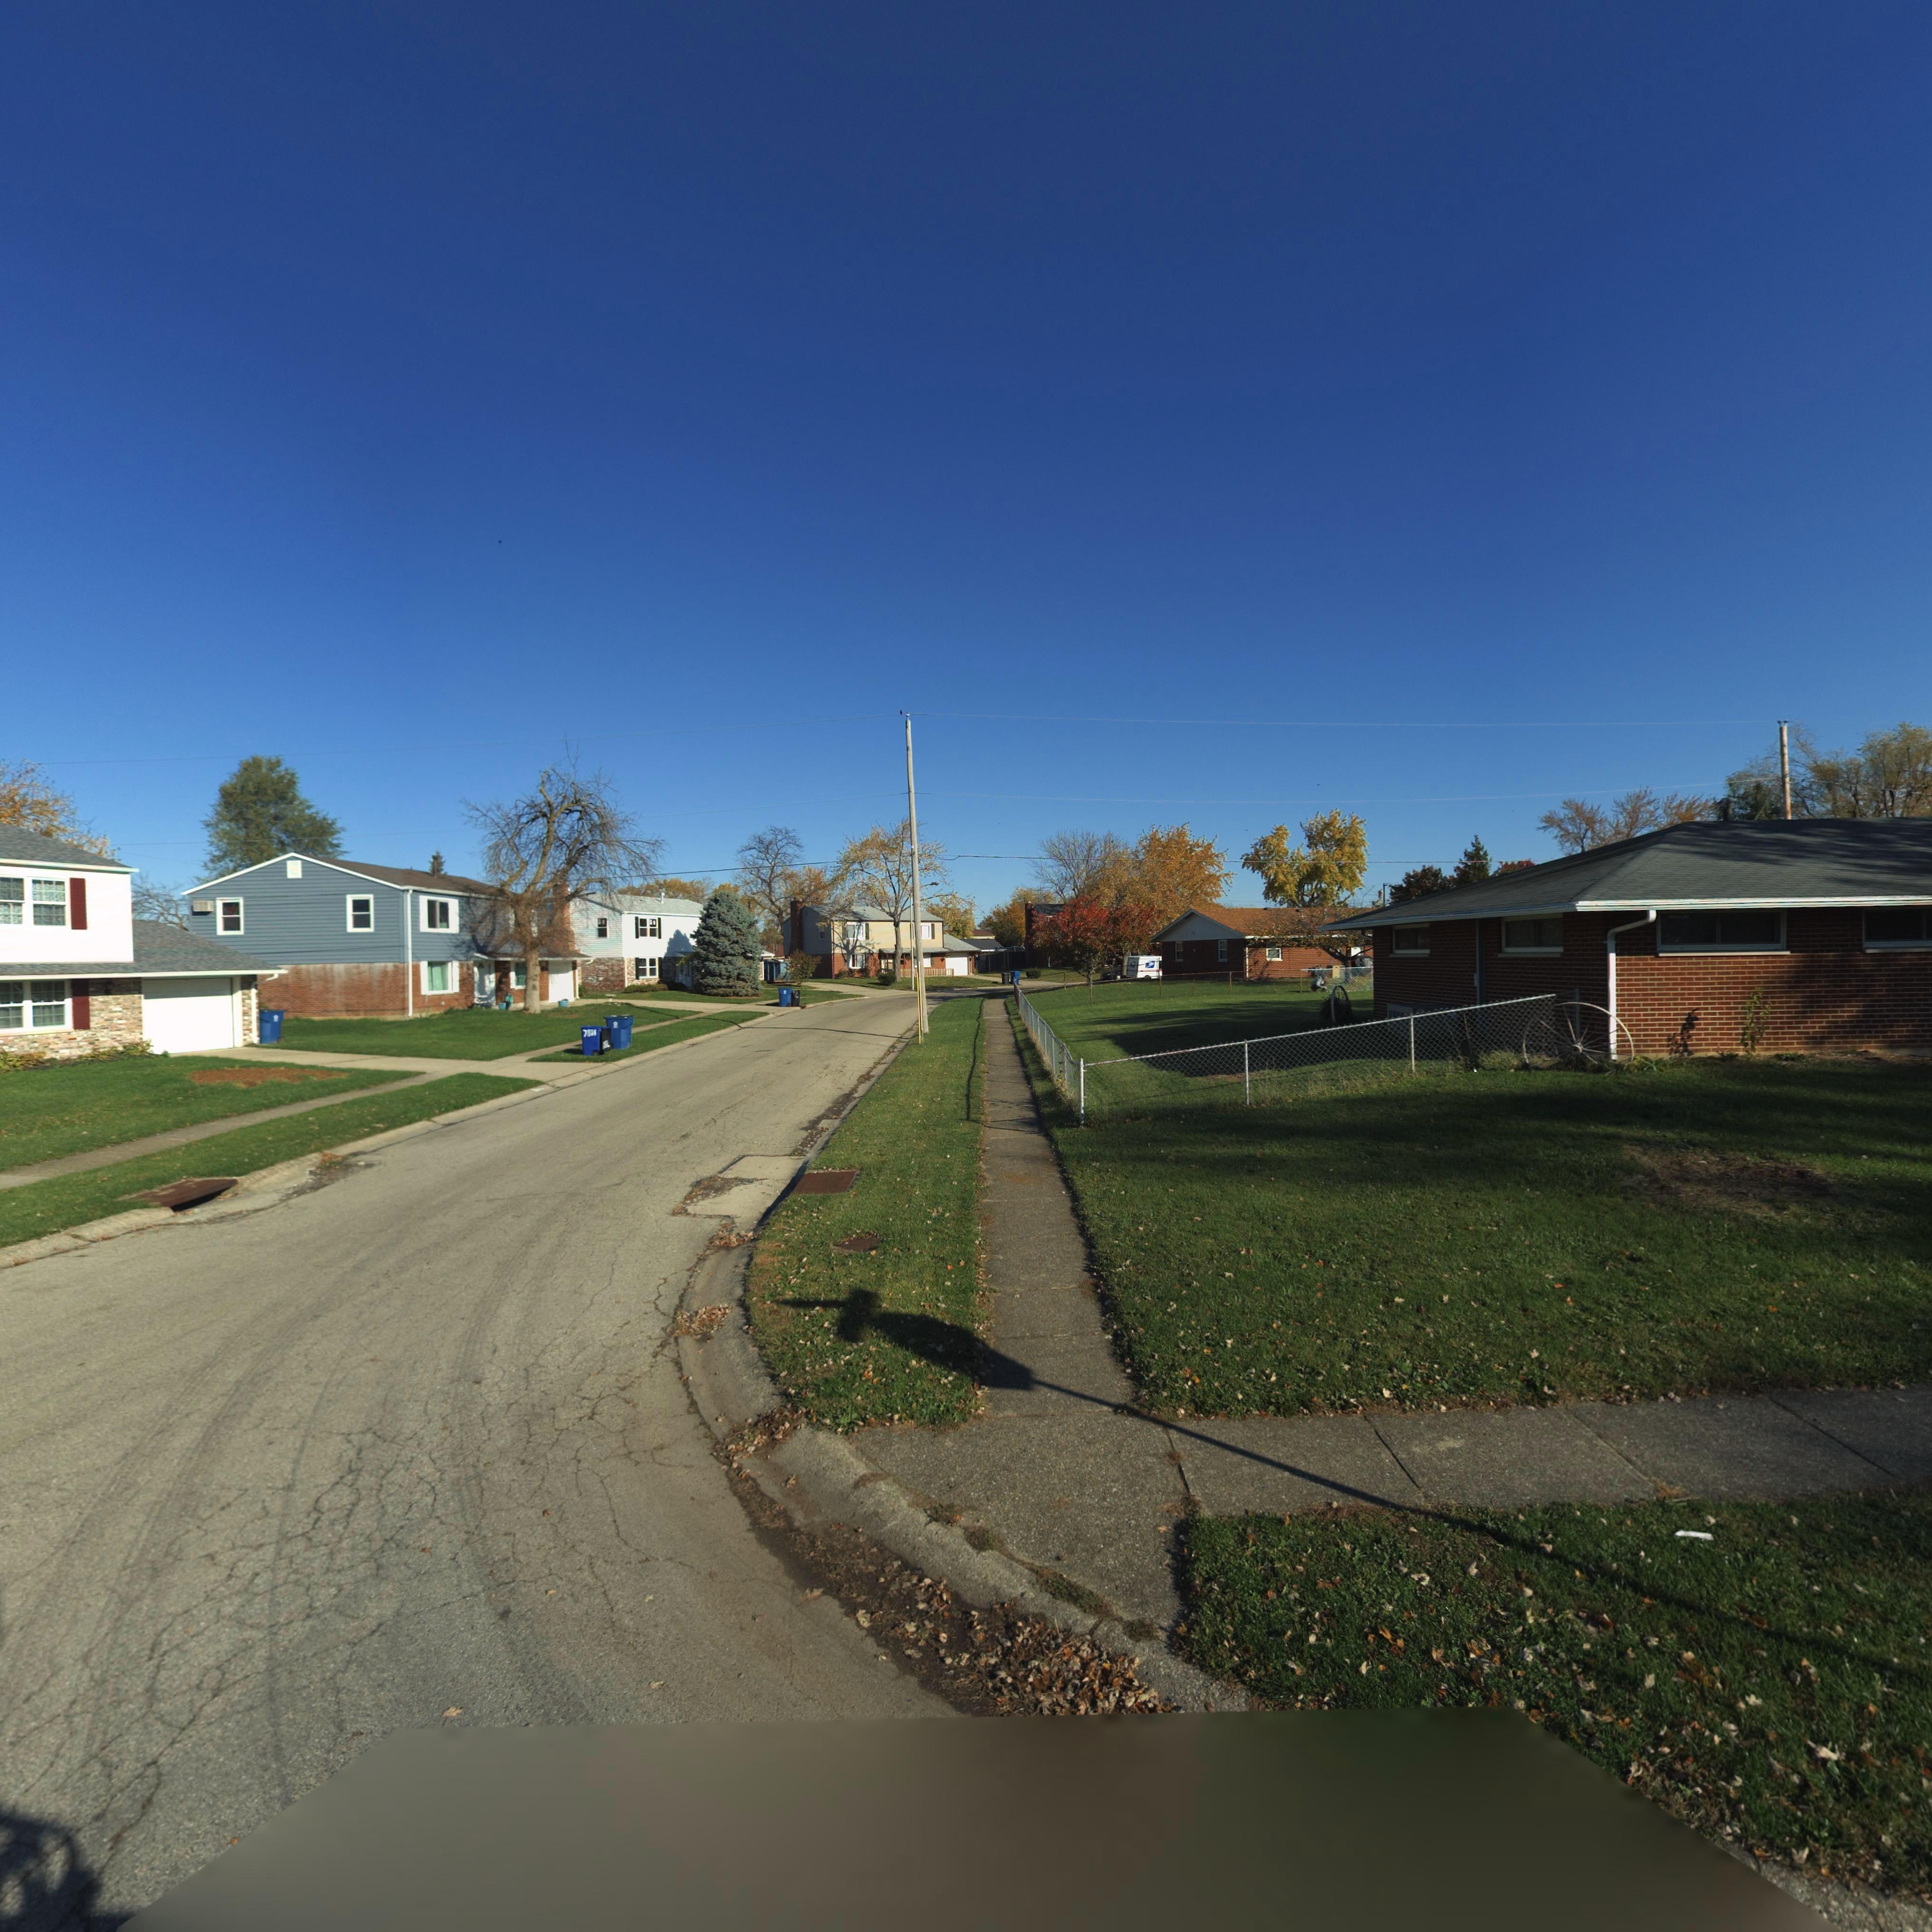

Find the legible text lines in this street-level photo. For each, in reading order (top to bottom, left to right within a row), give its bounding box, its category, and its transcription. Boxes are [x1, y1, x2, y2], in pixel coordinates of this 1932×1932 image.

[582, 1028, 597, 1038] StreetNumber: 7801